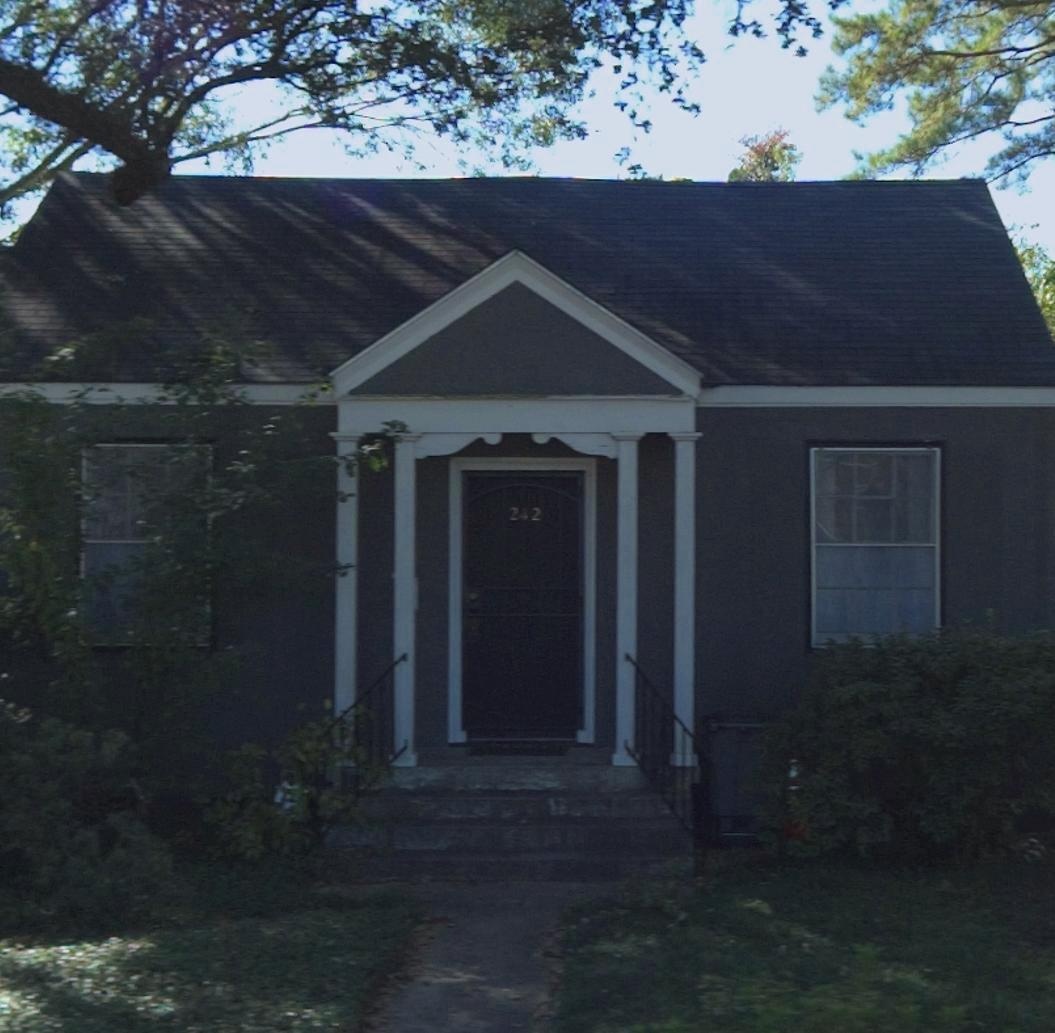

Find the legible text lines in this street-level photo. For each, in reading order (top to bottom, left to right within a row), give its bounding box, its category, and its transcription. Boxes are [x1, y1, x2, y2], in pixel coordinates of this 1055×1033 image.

[507, 504, 544, 523] StreetNumber: 242